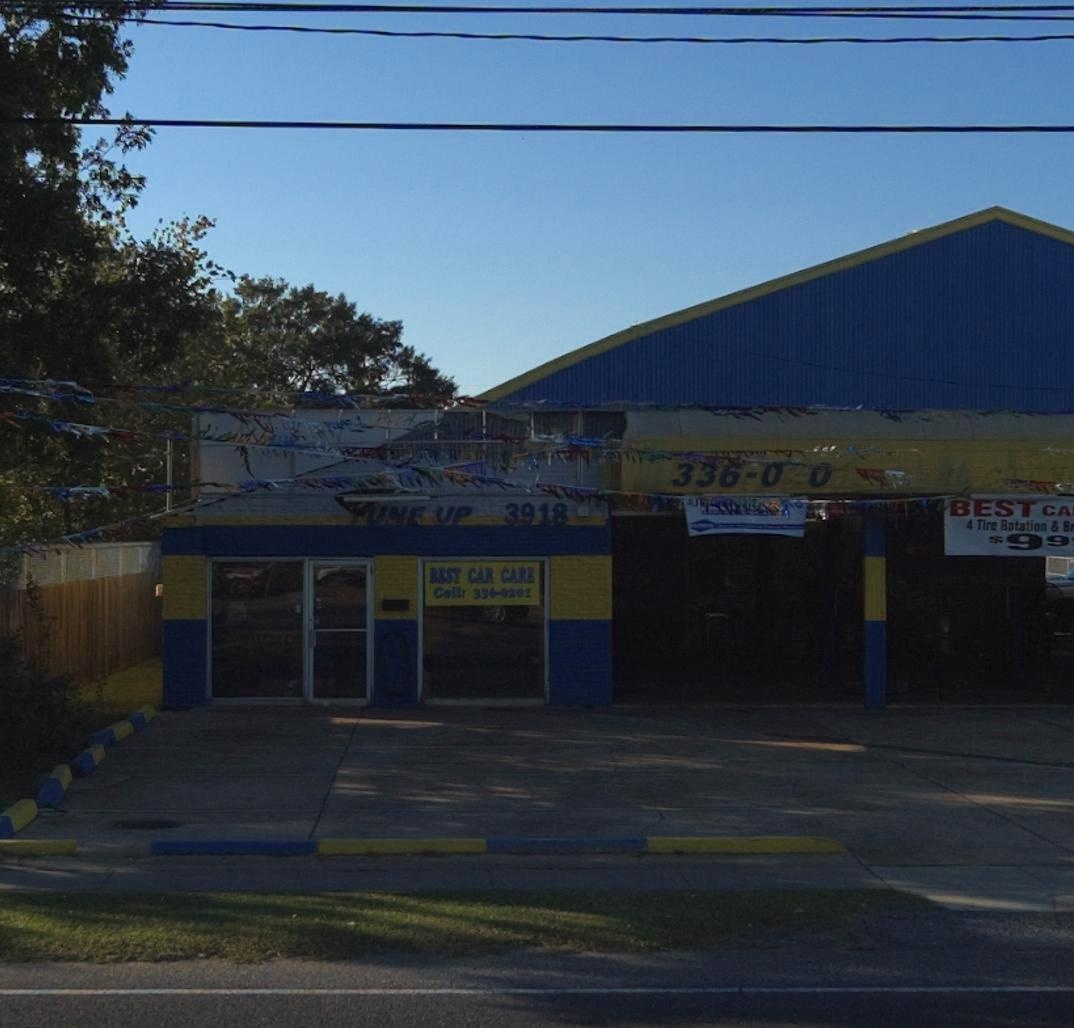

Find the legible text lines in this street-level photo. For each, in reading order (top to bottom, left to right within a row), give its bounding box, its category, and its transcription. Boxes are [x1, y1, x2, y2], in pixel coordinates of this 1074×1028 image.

[672, 460, 786, 487] None: 336-0
[803, 458, 834, 487] None: 0
[363, 501, 477, 530] None: UNE UP
[501, 498, 570, 530] StreetNumber: 3918
[945, 497, 1070, 520] BusinessName: BEST CA
[963, 517, 1072, 535] None: 4 Tire Rotation & B
[986, 531, 1072, 553] None: $99
[426, 562, 536, 587] BusinessName: BEST CAR CARE
[429, 583, 533, 601] None: Call: 336-0201